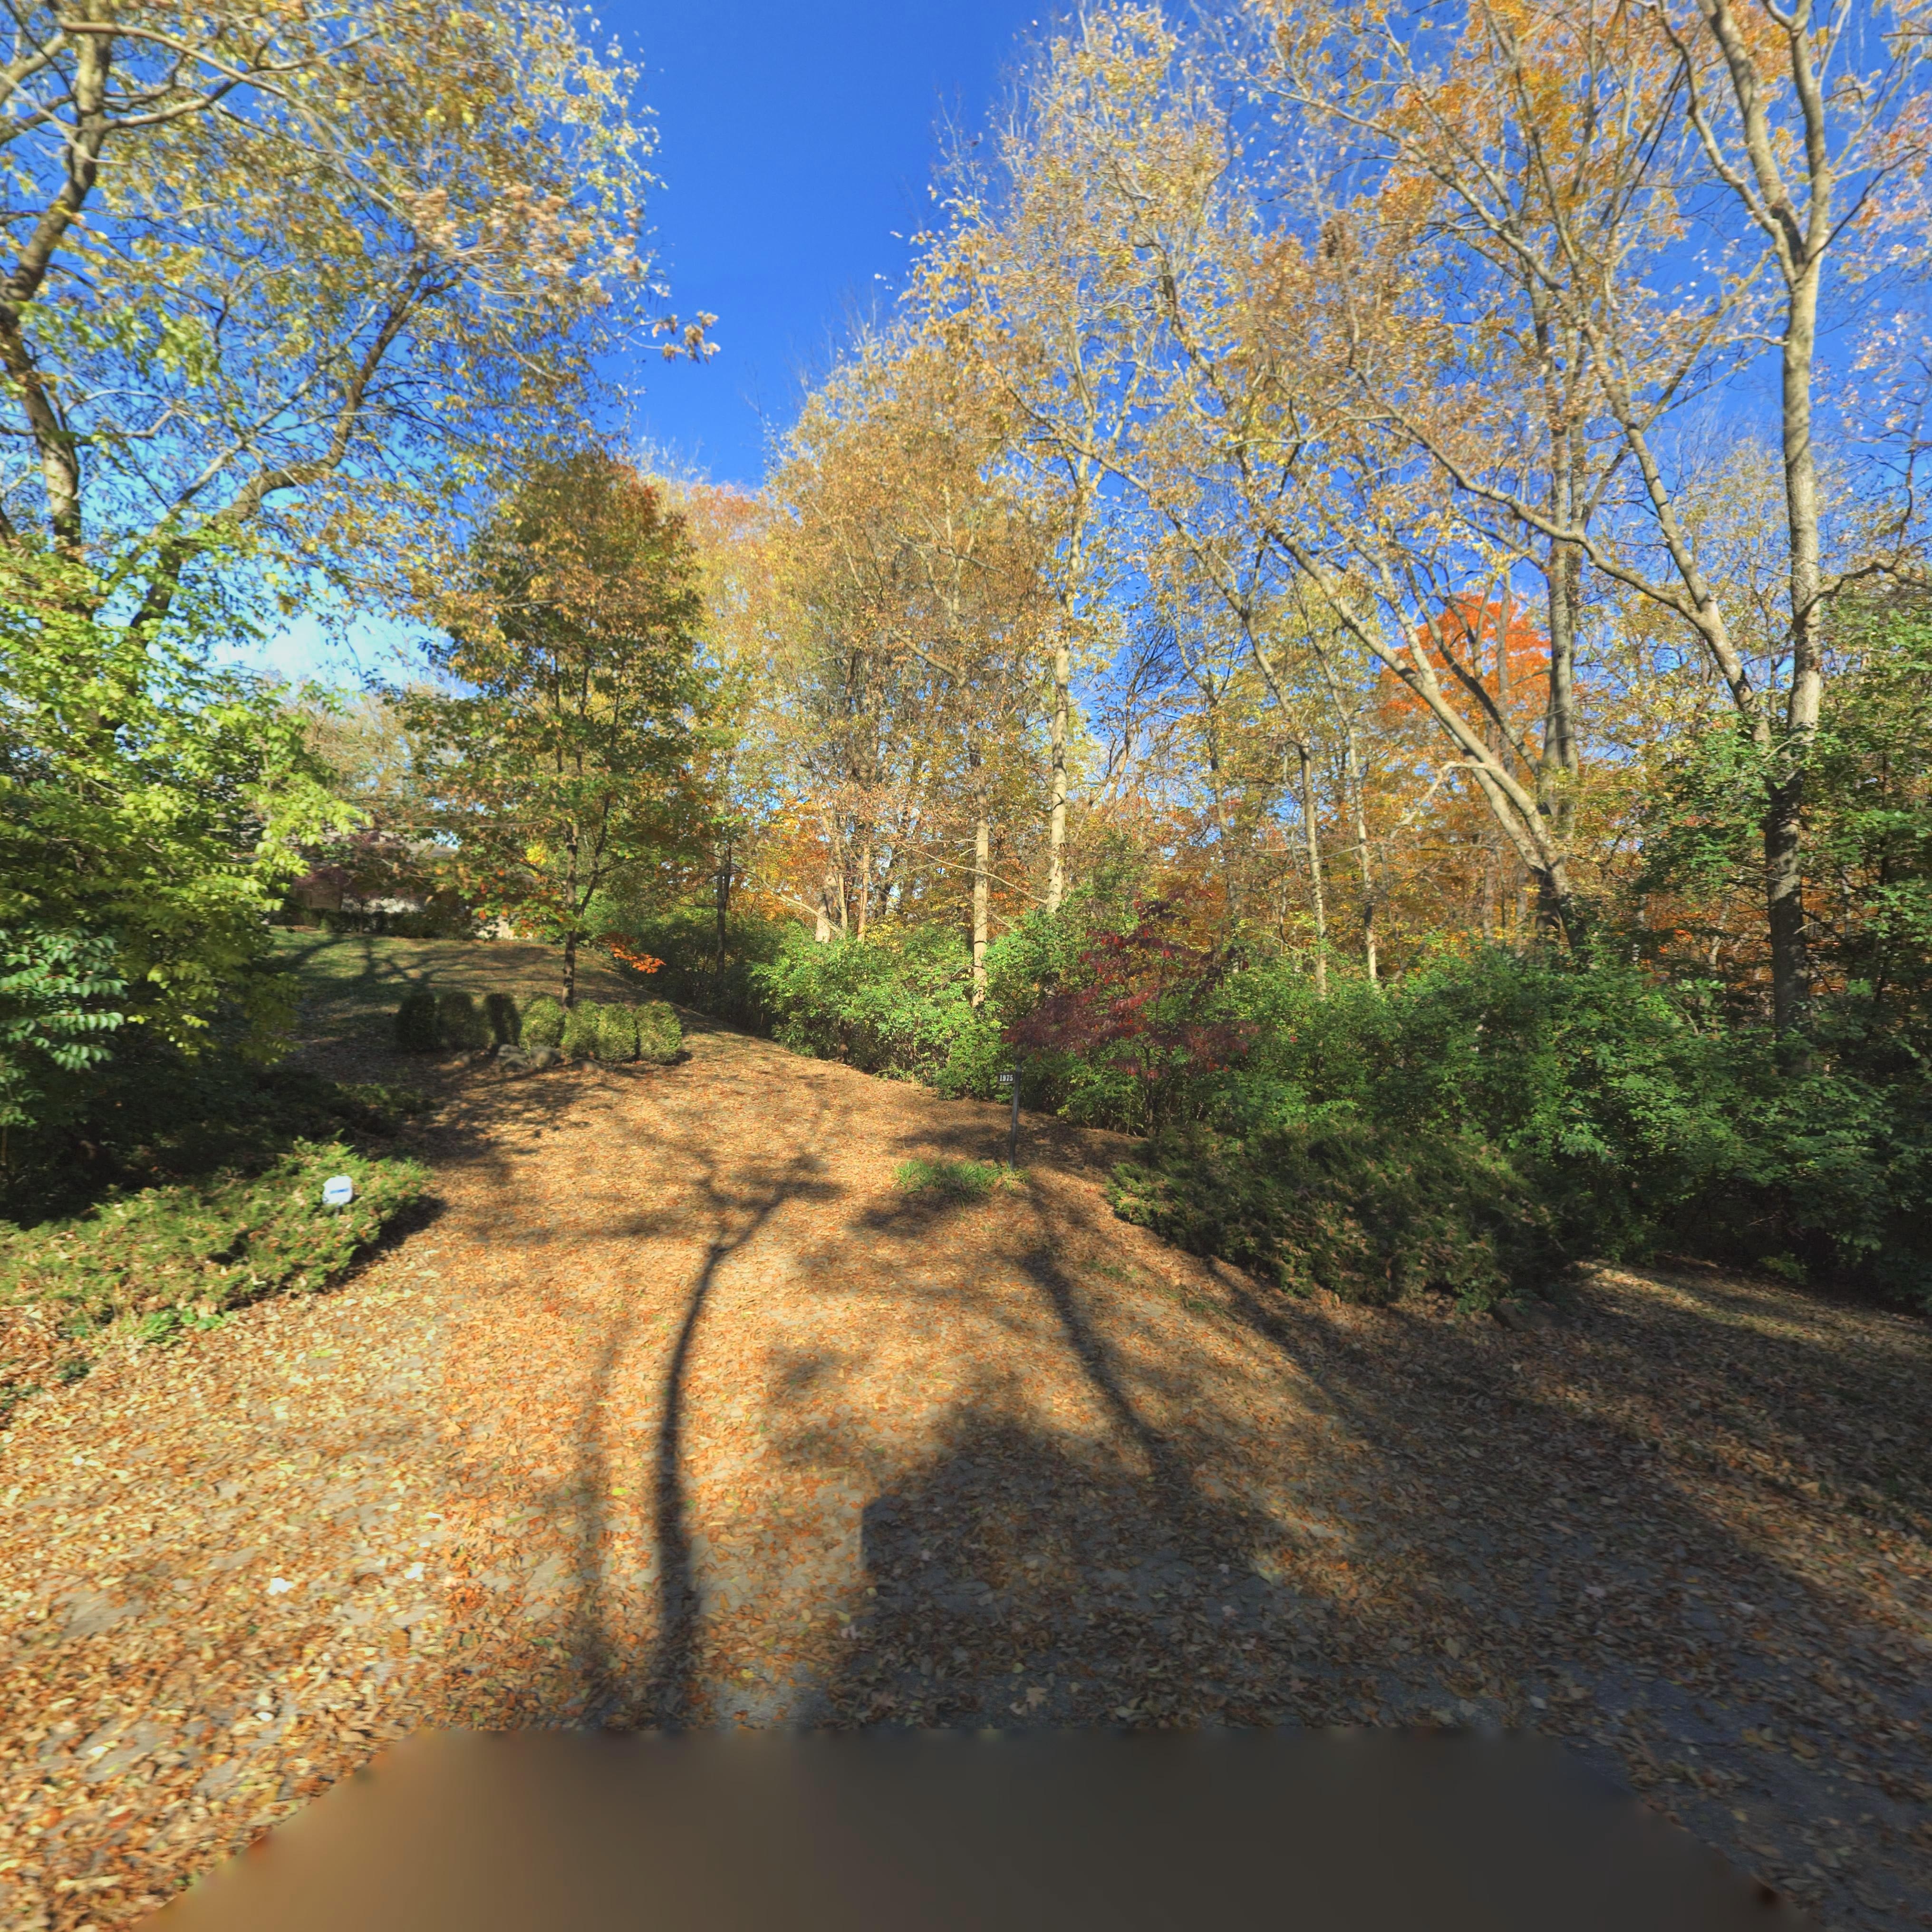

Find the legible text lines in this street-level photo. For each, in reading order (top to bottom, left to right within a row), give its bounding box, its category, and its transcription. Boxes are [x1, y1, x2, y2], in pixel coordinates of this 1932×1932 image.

[999, 1073, 1014, 1082] StreetNumber: 1975